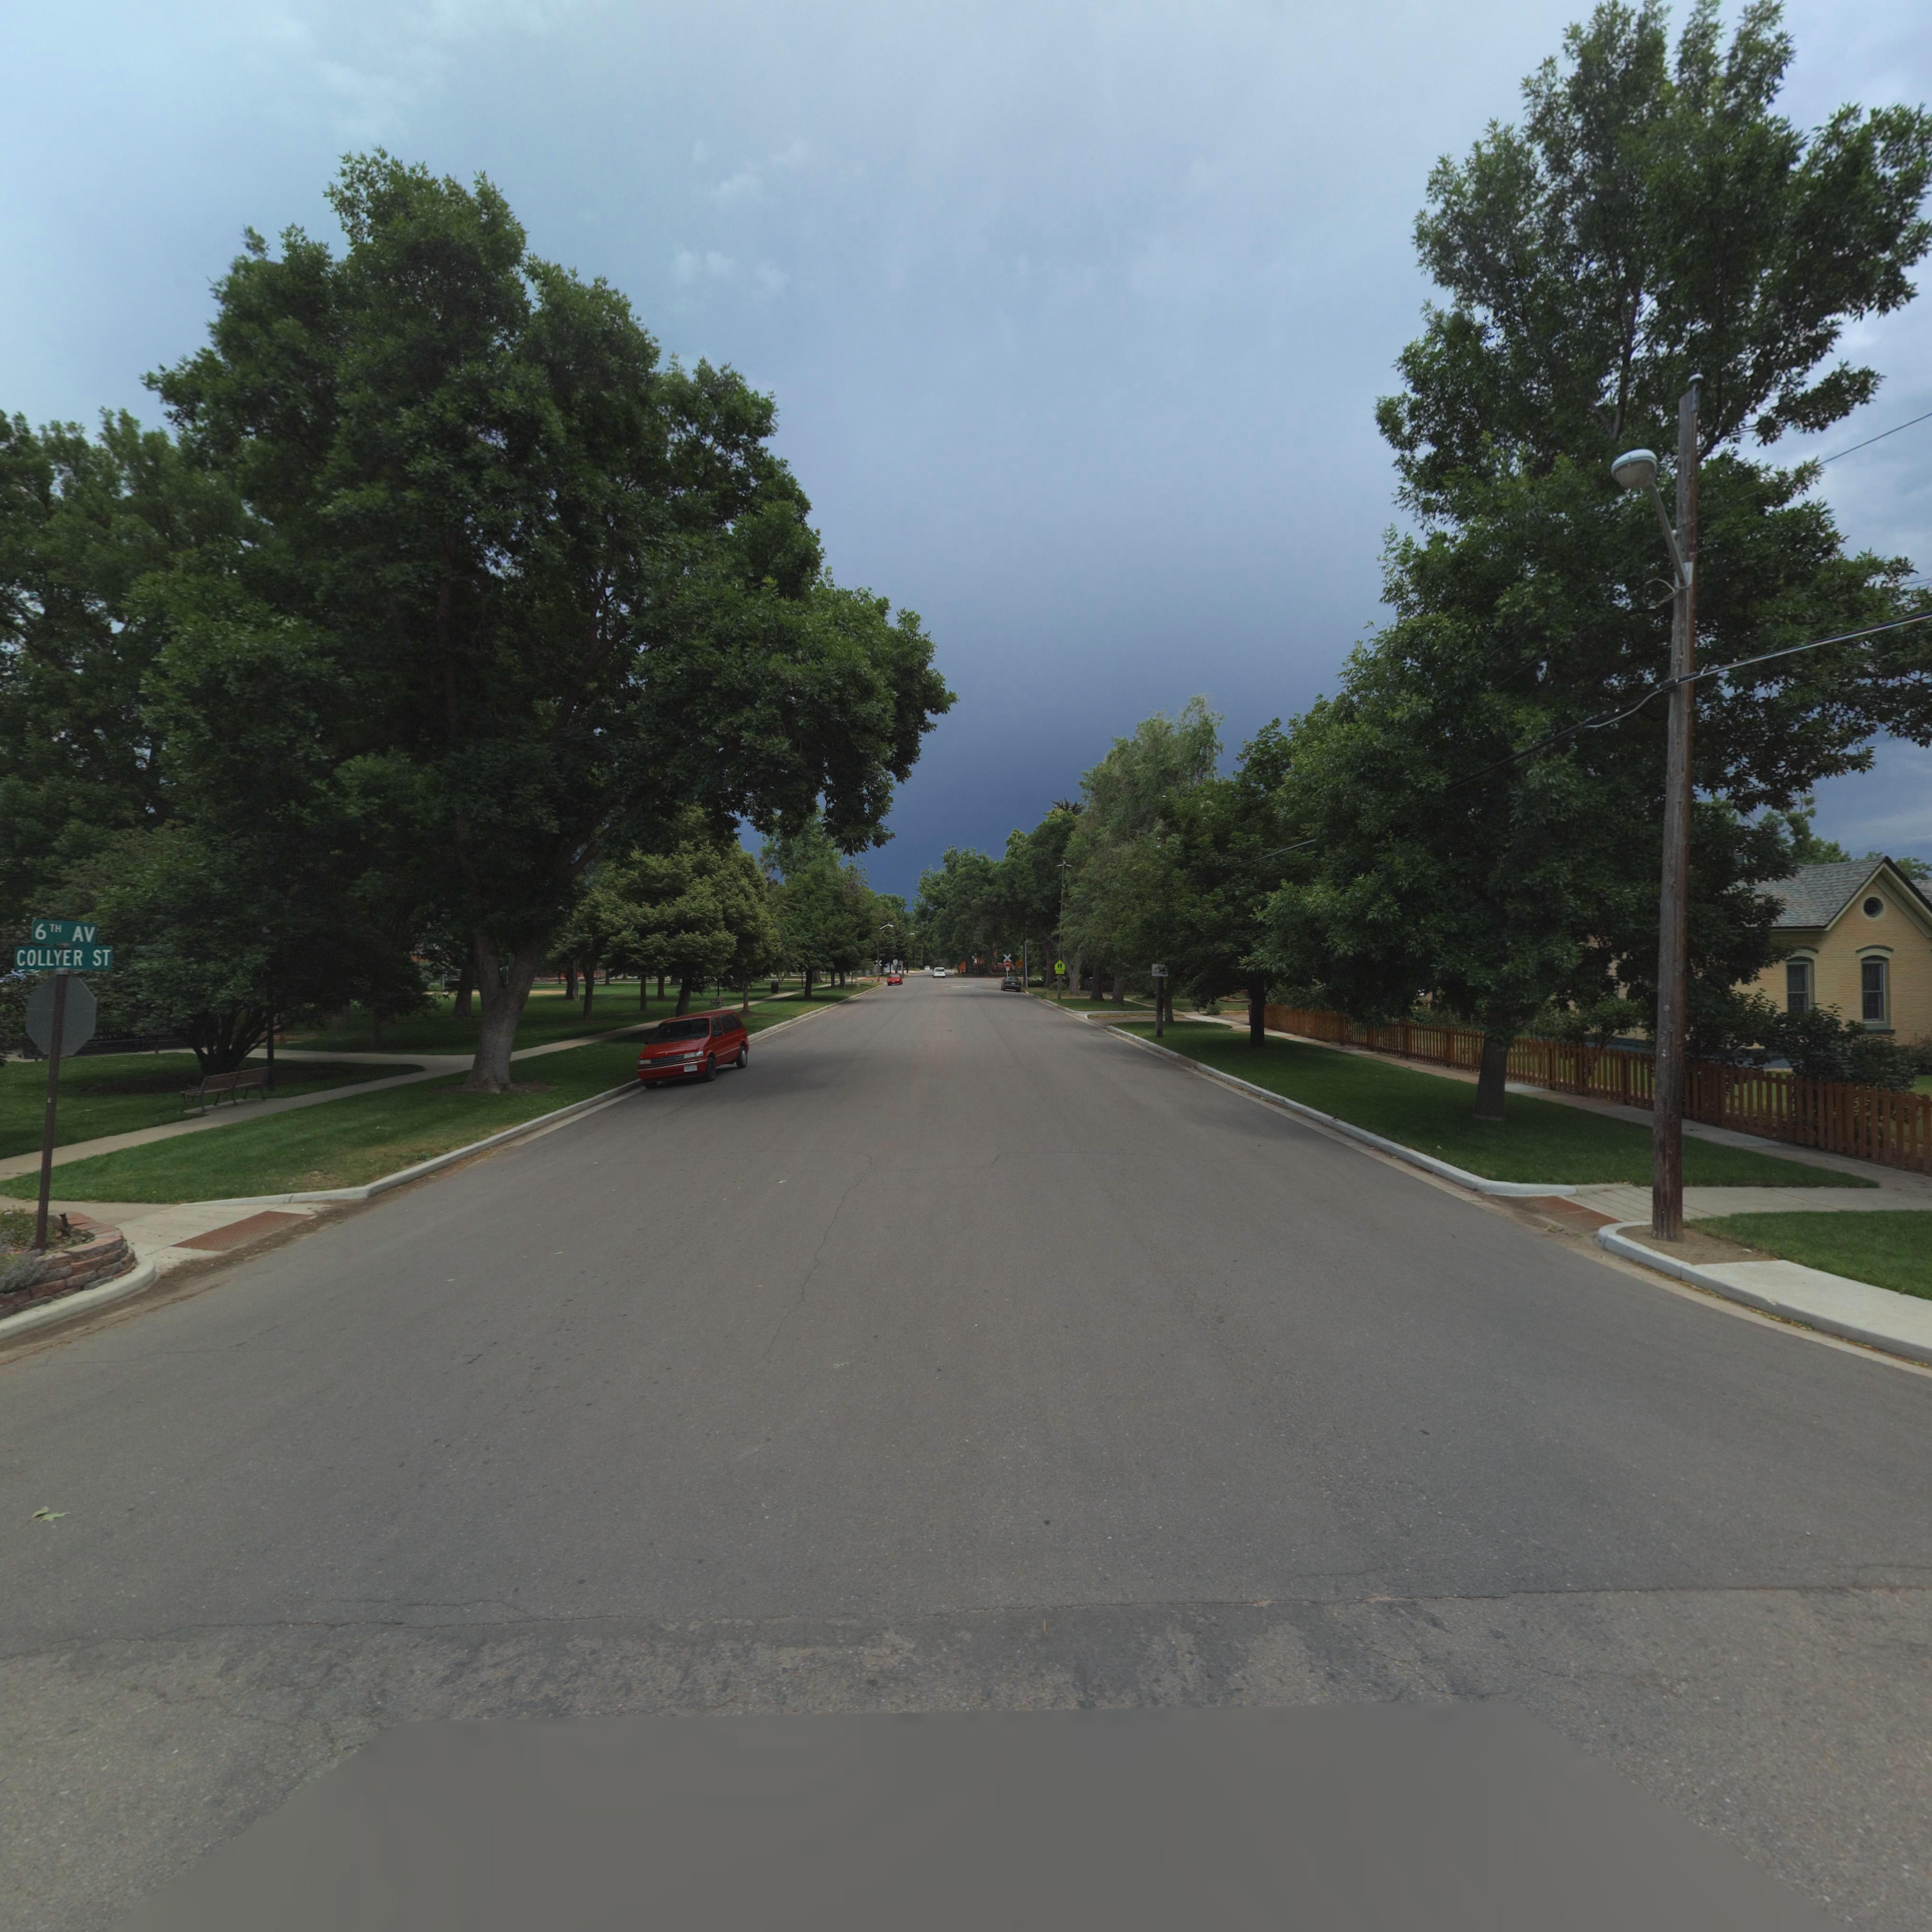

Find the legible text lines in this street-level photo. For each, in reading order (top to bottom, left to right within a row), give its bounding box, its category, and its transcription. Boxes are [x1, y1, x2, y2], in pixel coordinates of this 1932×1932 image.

[34, 922, 96, 942] StreetName: 6TH AV
[16, 949, 111, 966] StreetName: COLLYER ST